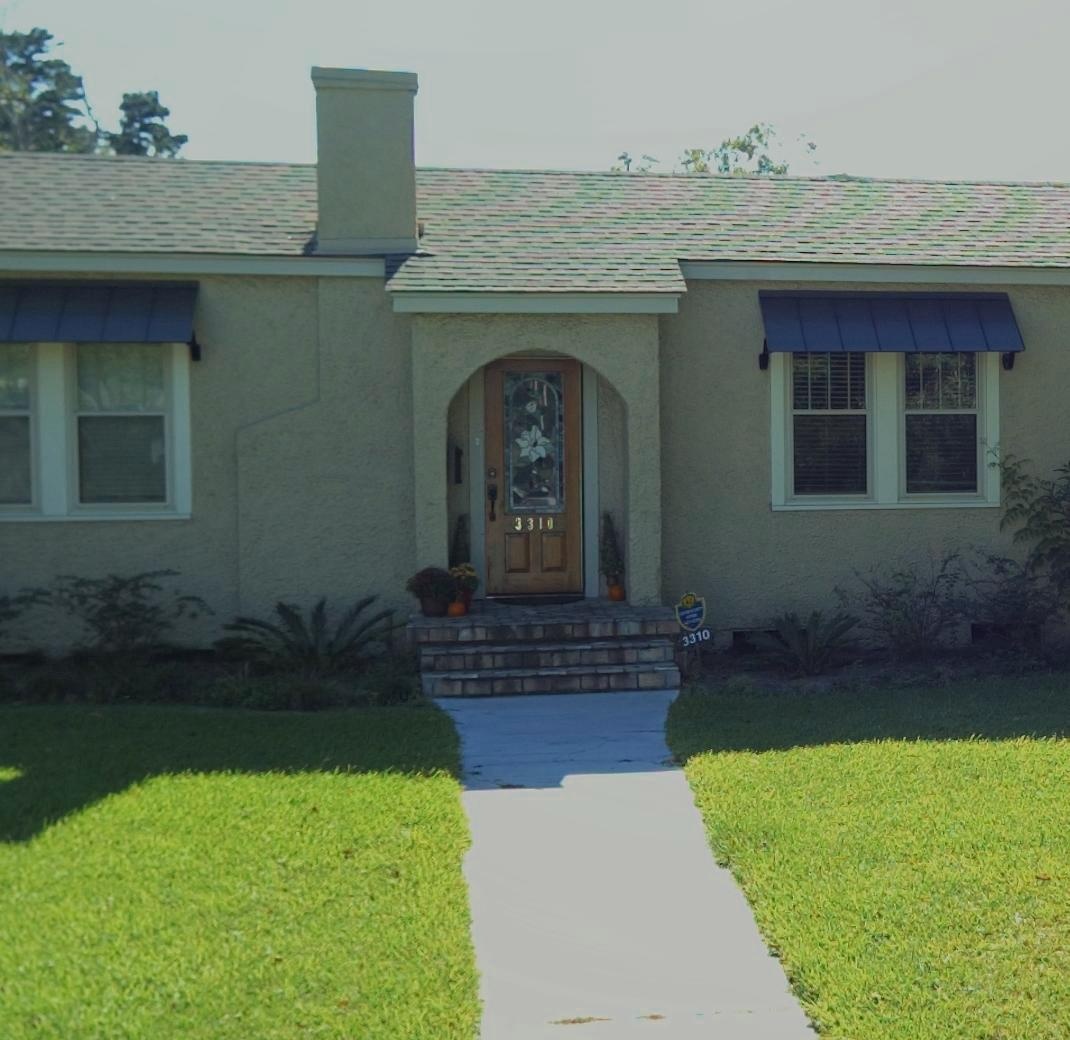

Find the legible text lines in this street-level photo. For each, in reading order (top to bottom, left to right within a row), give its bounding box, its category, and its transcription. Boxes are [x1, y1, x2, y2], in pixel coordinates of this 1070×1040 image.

[512, 514, 555, 533] StreetNumber: 3310
[678, 625, 715, 650] StreetNumber: 3310